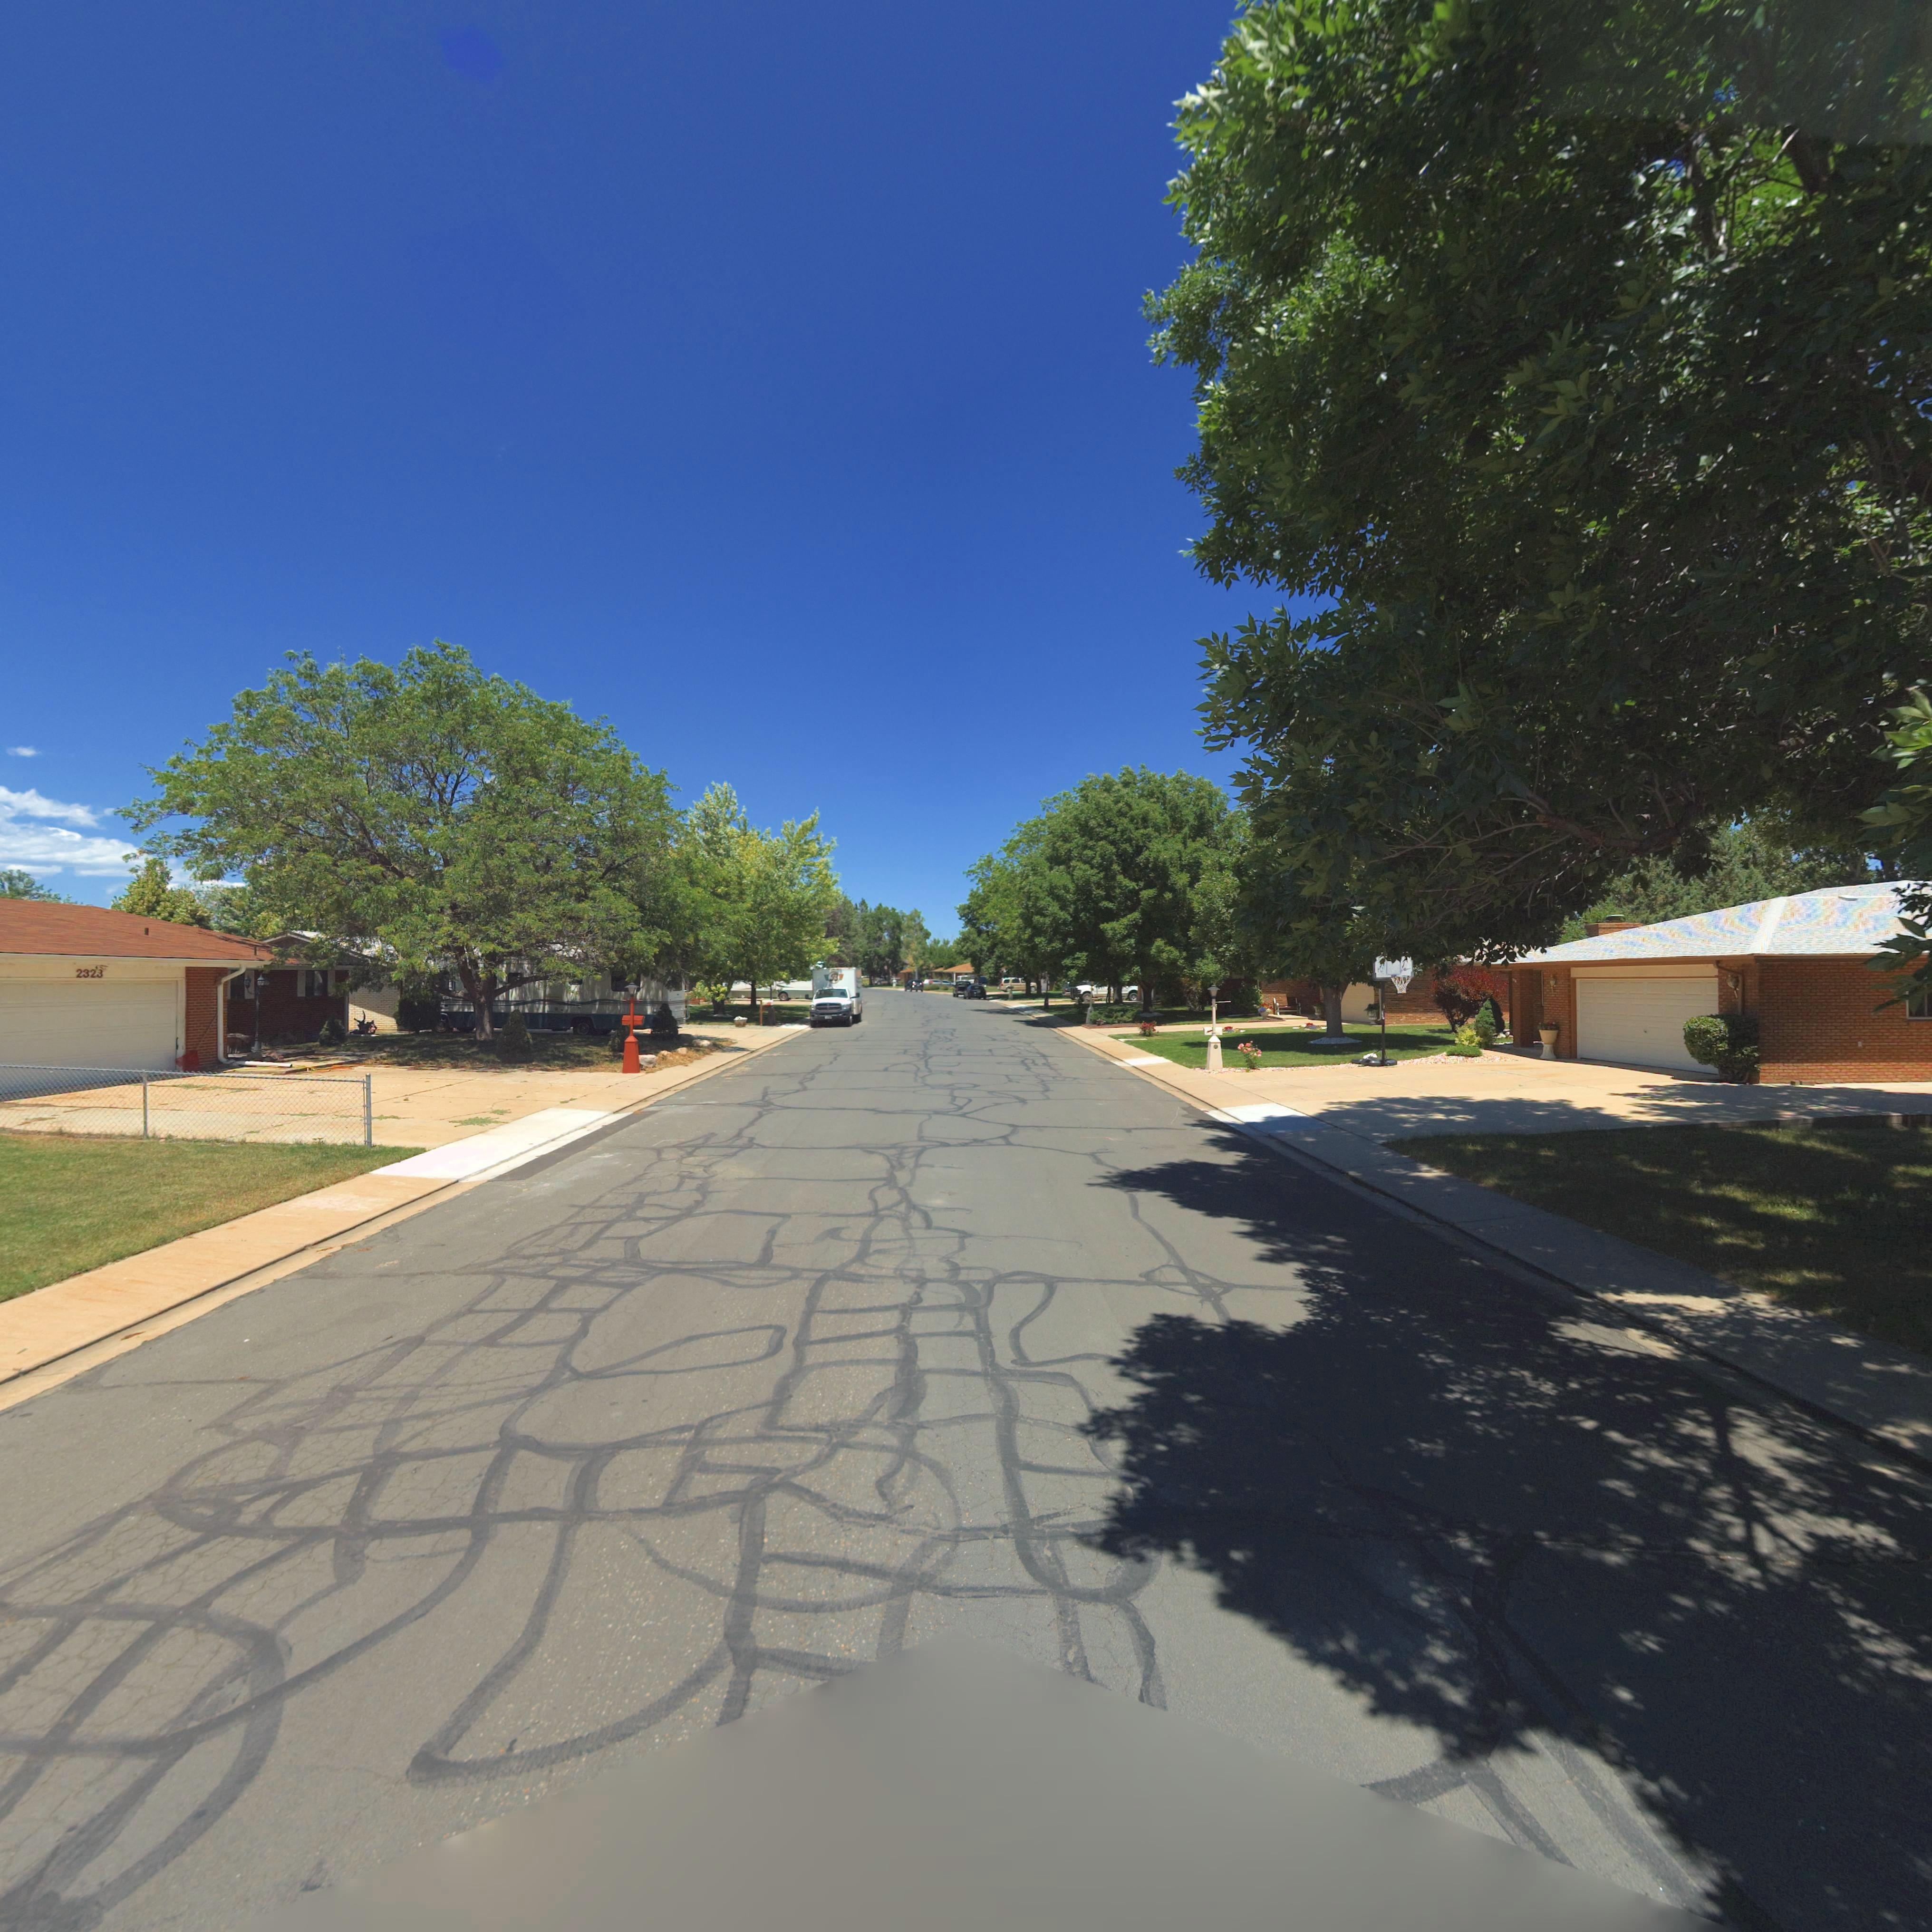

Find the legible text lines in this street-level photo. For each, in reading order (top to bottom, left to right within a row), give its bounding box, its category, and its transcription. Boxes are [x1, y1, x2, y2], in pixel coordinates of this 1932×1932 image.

[76, 968, 103, 978] StreetNumber: 2323